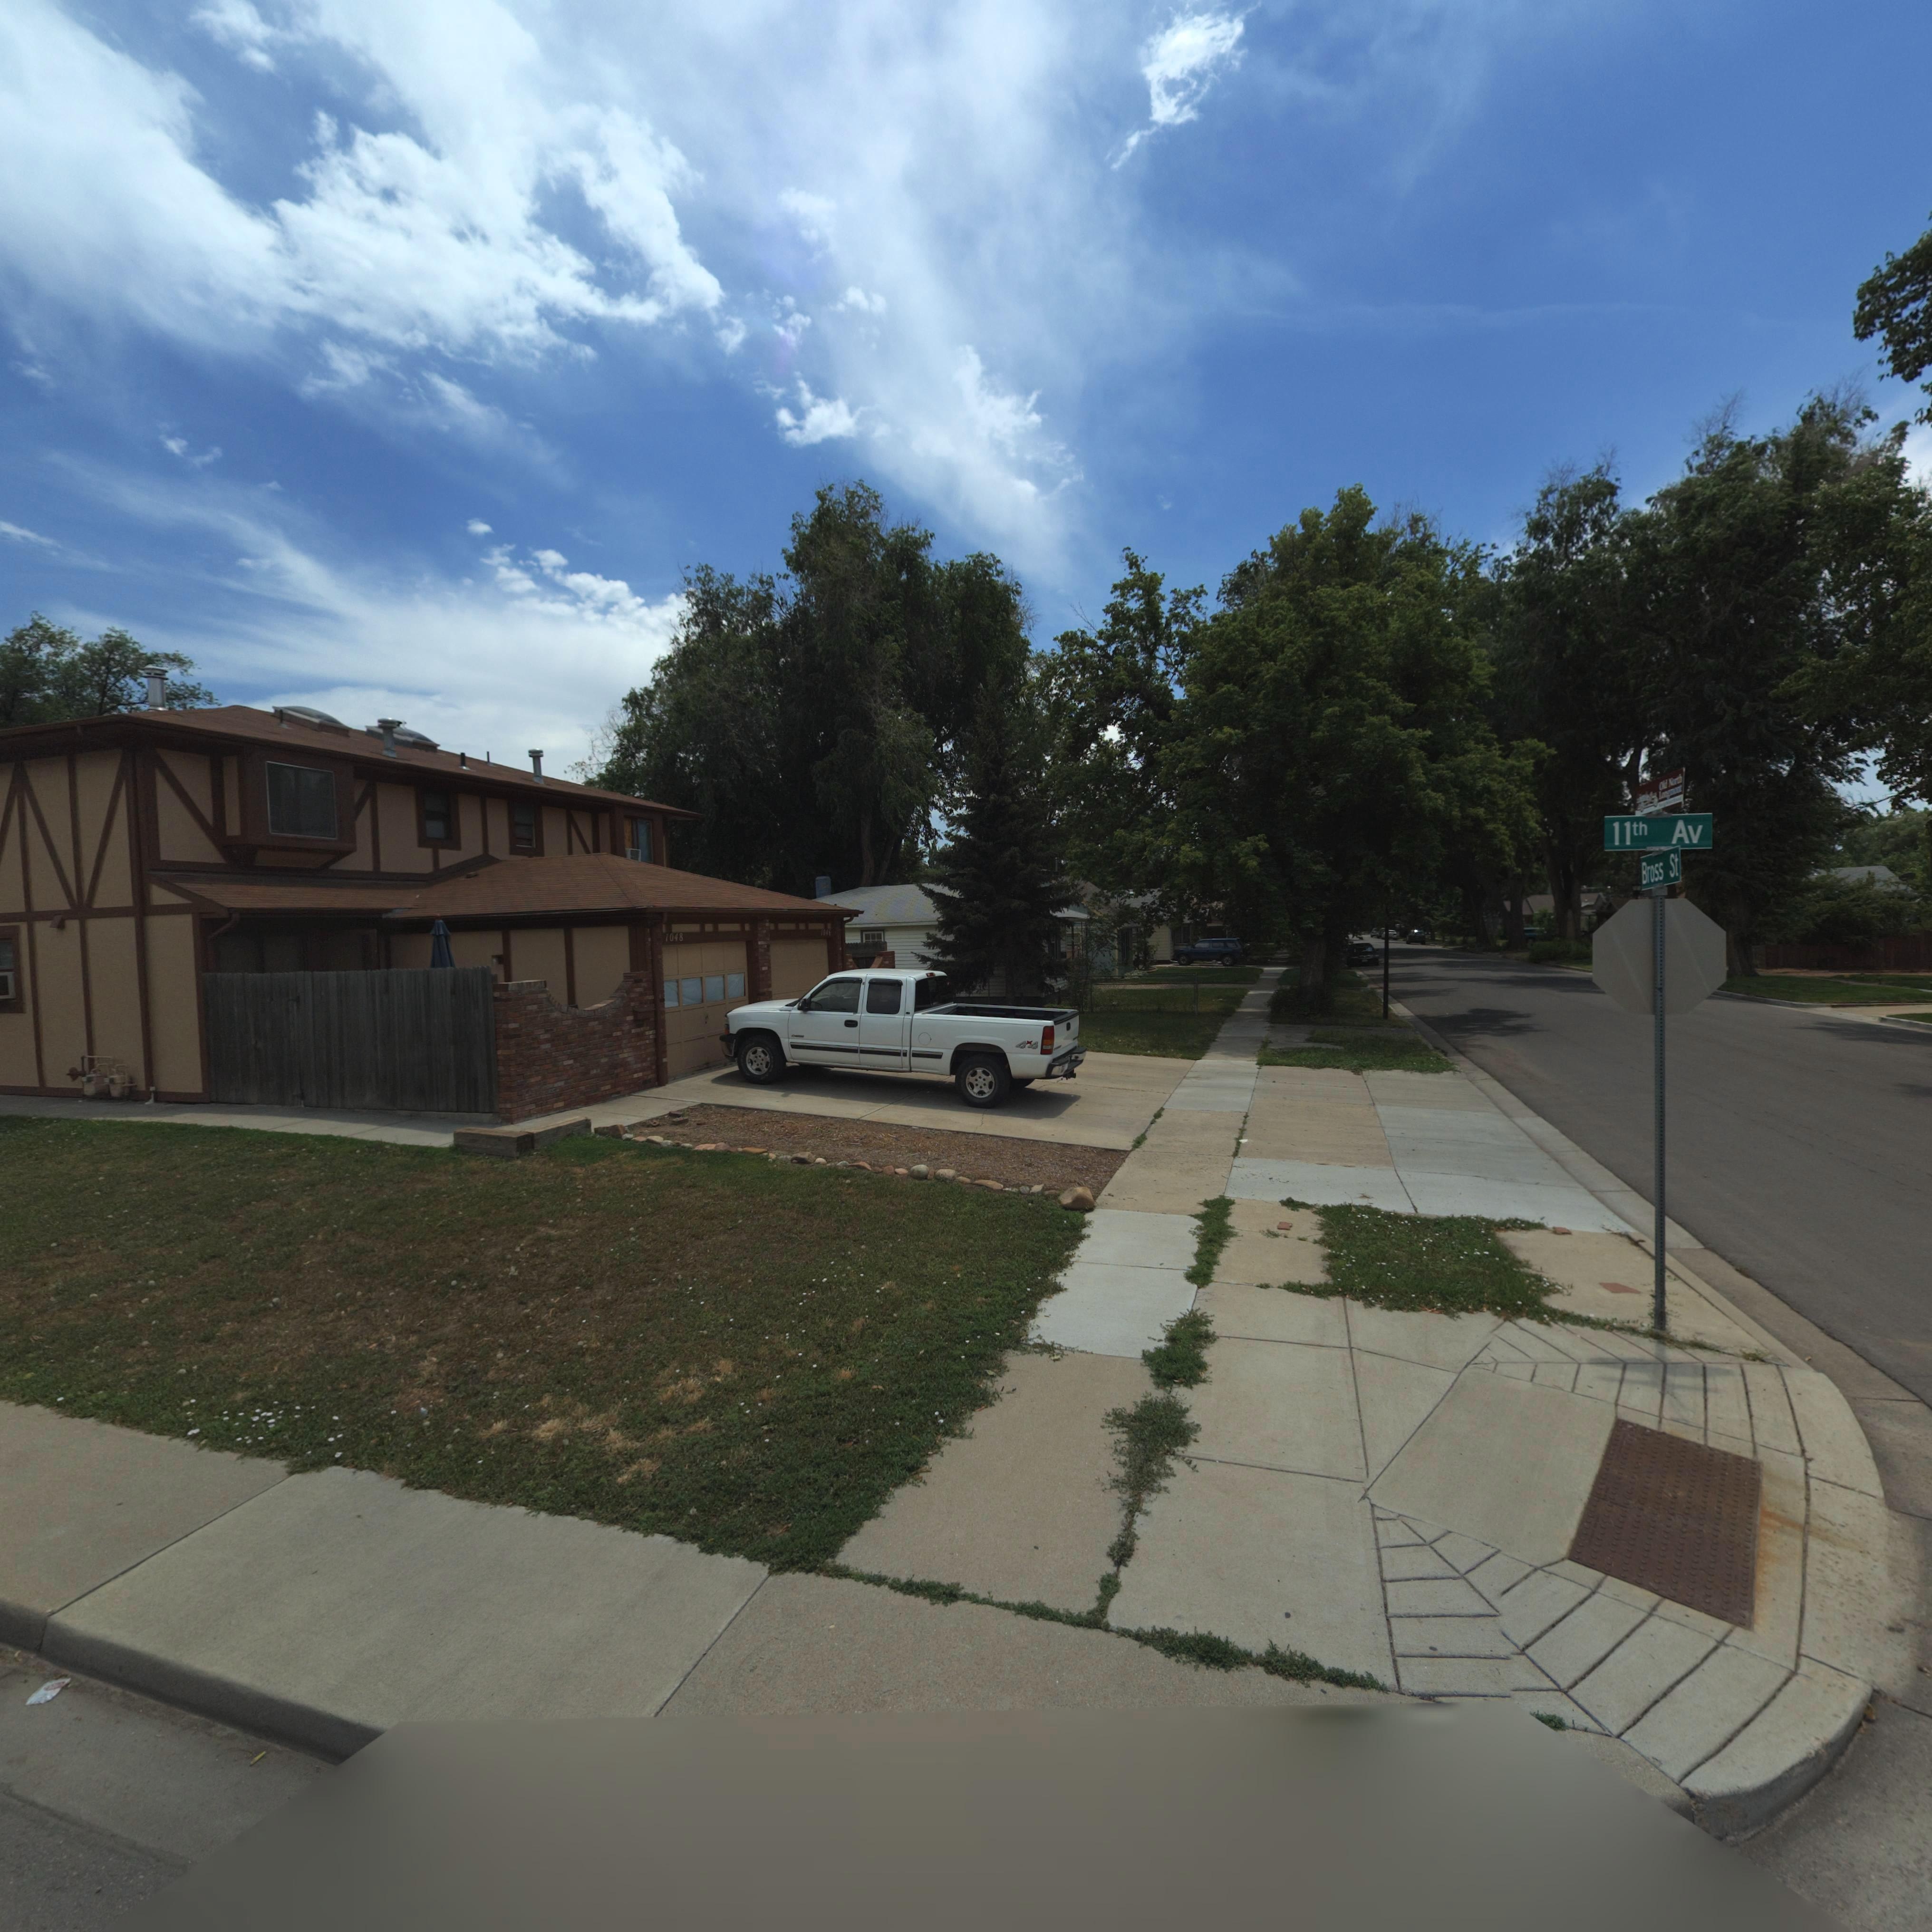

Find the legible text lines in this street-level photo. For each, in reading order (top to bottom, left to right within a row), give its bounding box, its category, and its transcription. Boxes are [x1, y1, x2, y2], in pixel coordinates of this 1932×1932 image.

[1612, 819, 1704, 845] StreetName: 11th Av
[1641, 852, 1679, 885] StreetName: Bross St
[665, 932, 684, 942] StreetNumber: 1048
[821, 928, 831, 936] StreetNumber: 1046